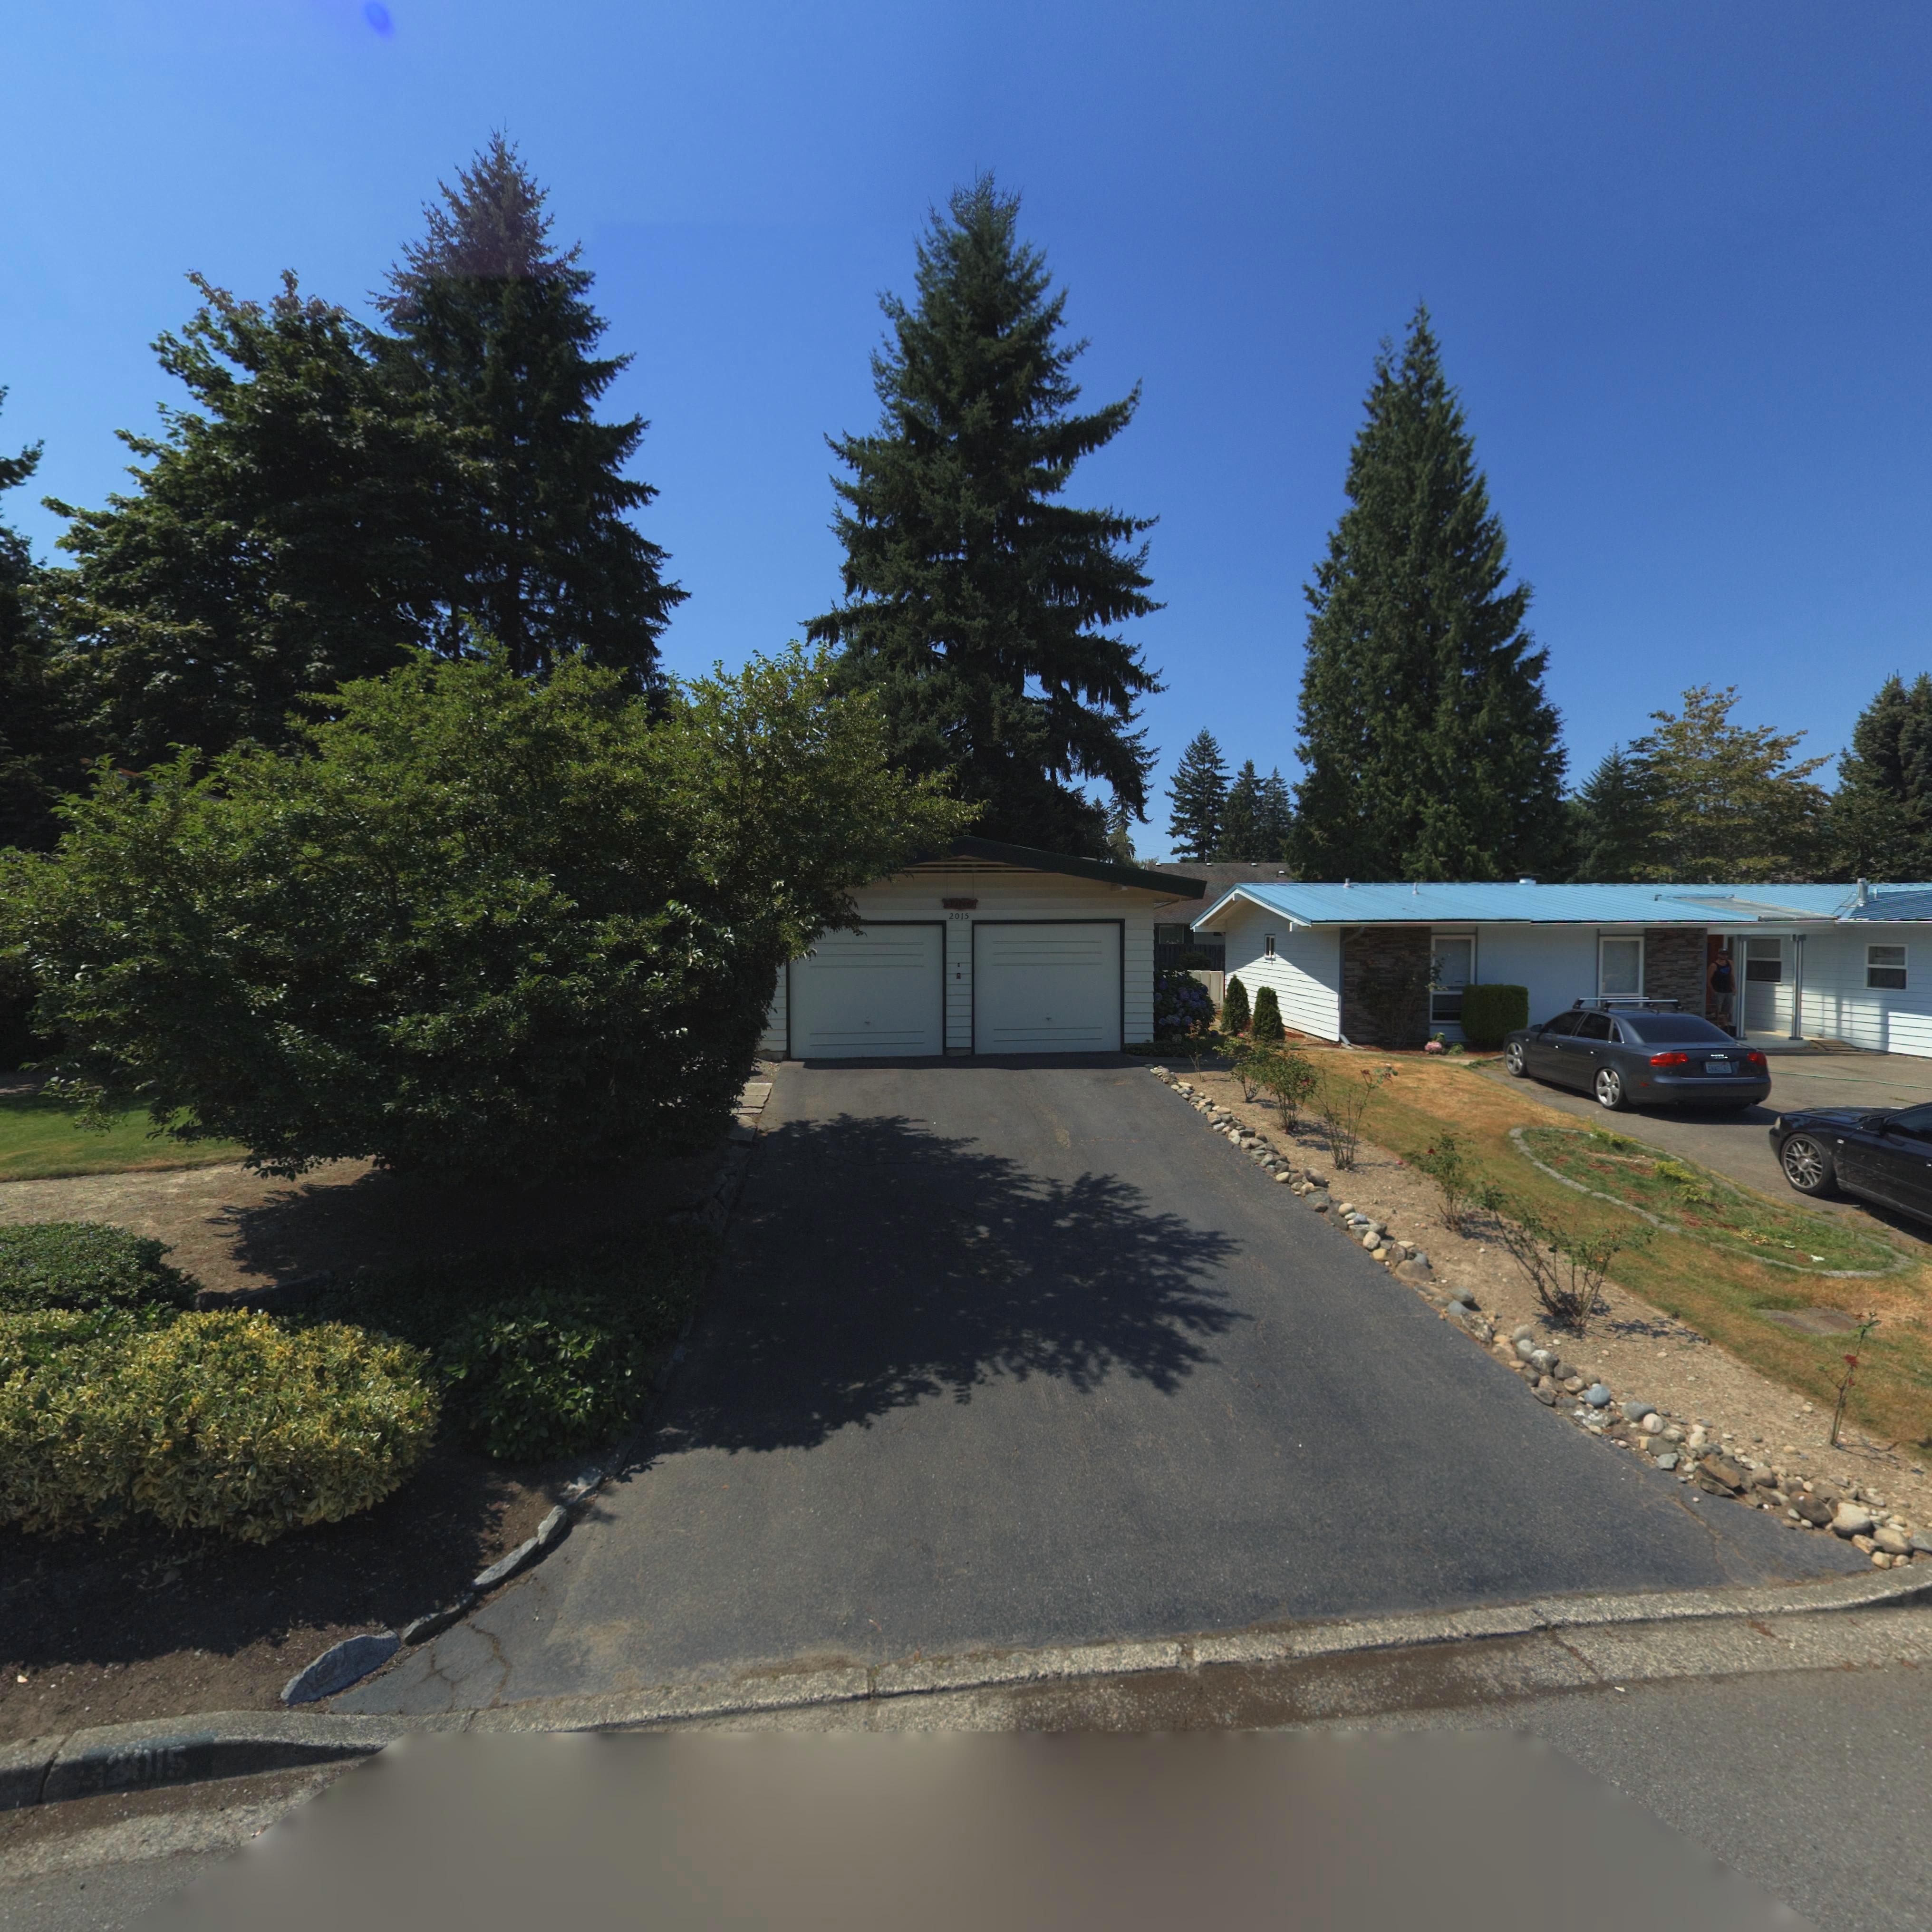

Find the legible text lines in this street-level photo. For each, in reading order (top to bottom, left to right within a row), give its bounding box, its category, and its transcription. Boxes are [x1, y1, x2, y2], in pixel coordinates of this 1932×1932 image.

[948, 911, 969, 922] StreetNumber: 2015